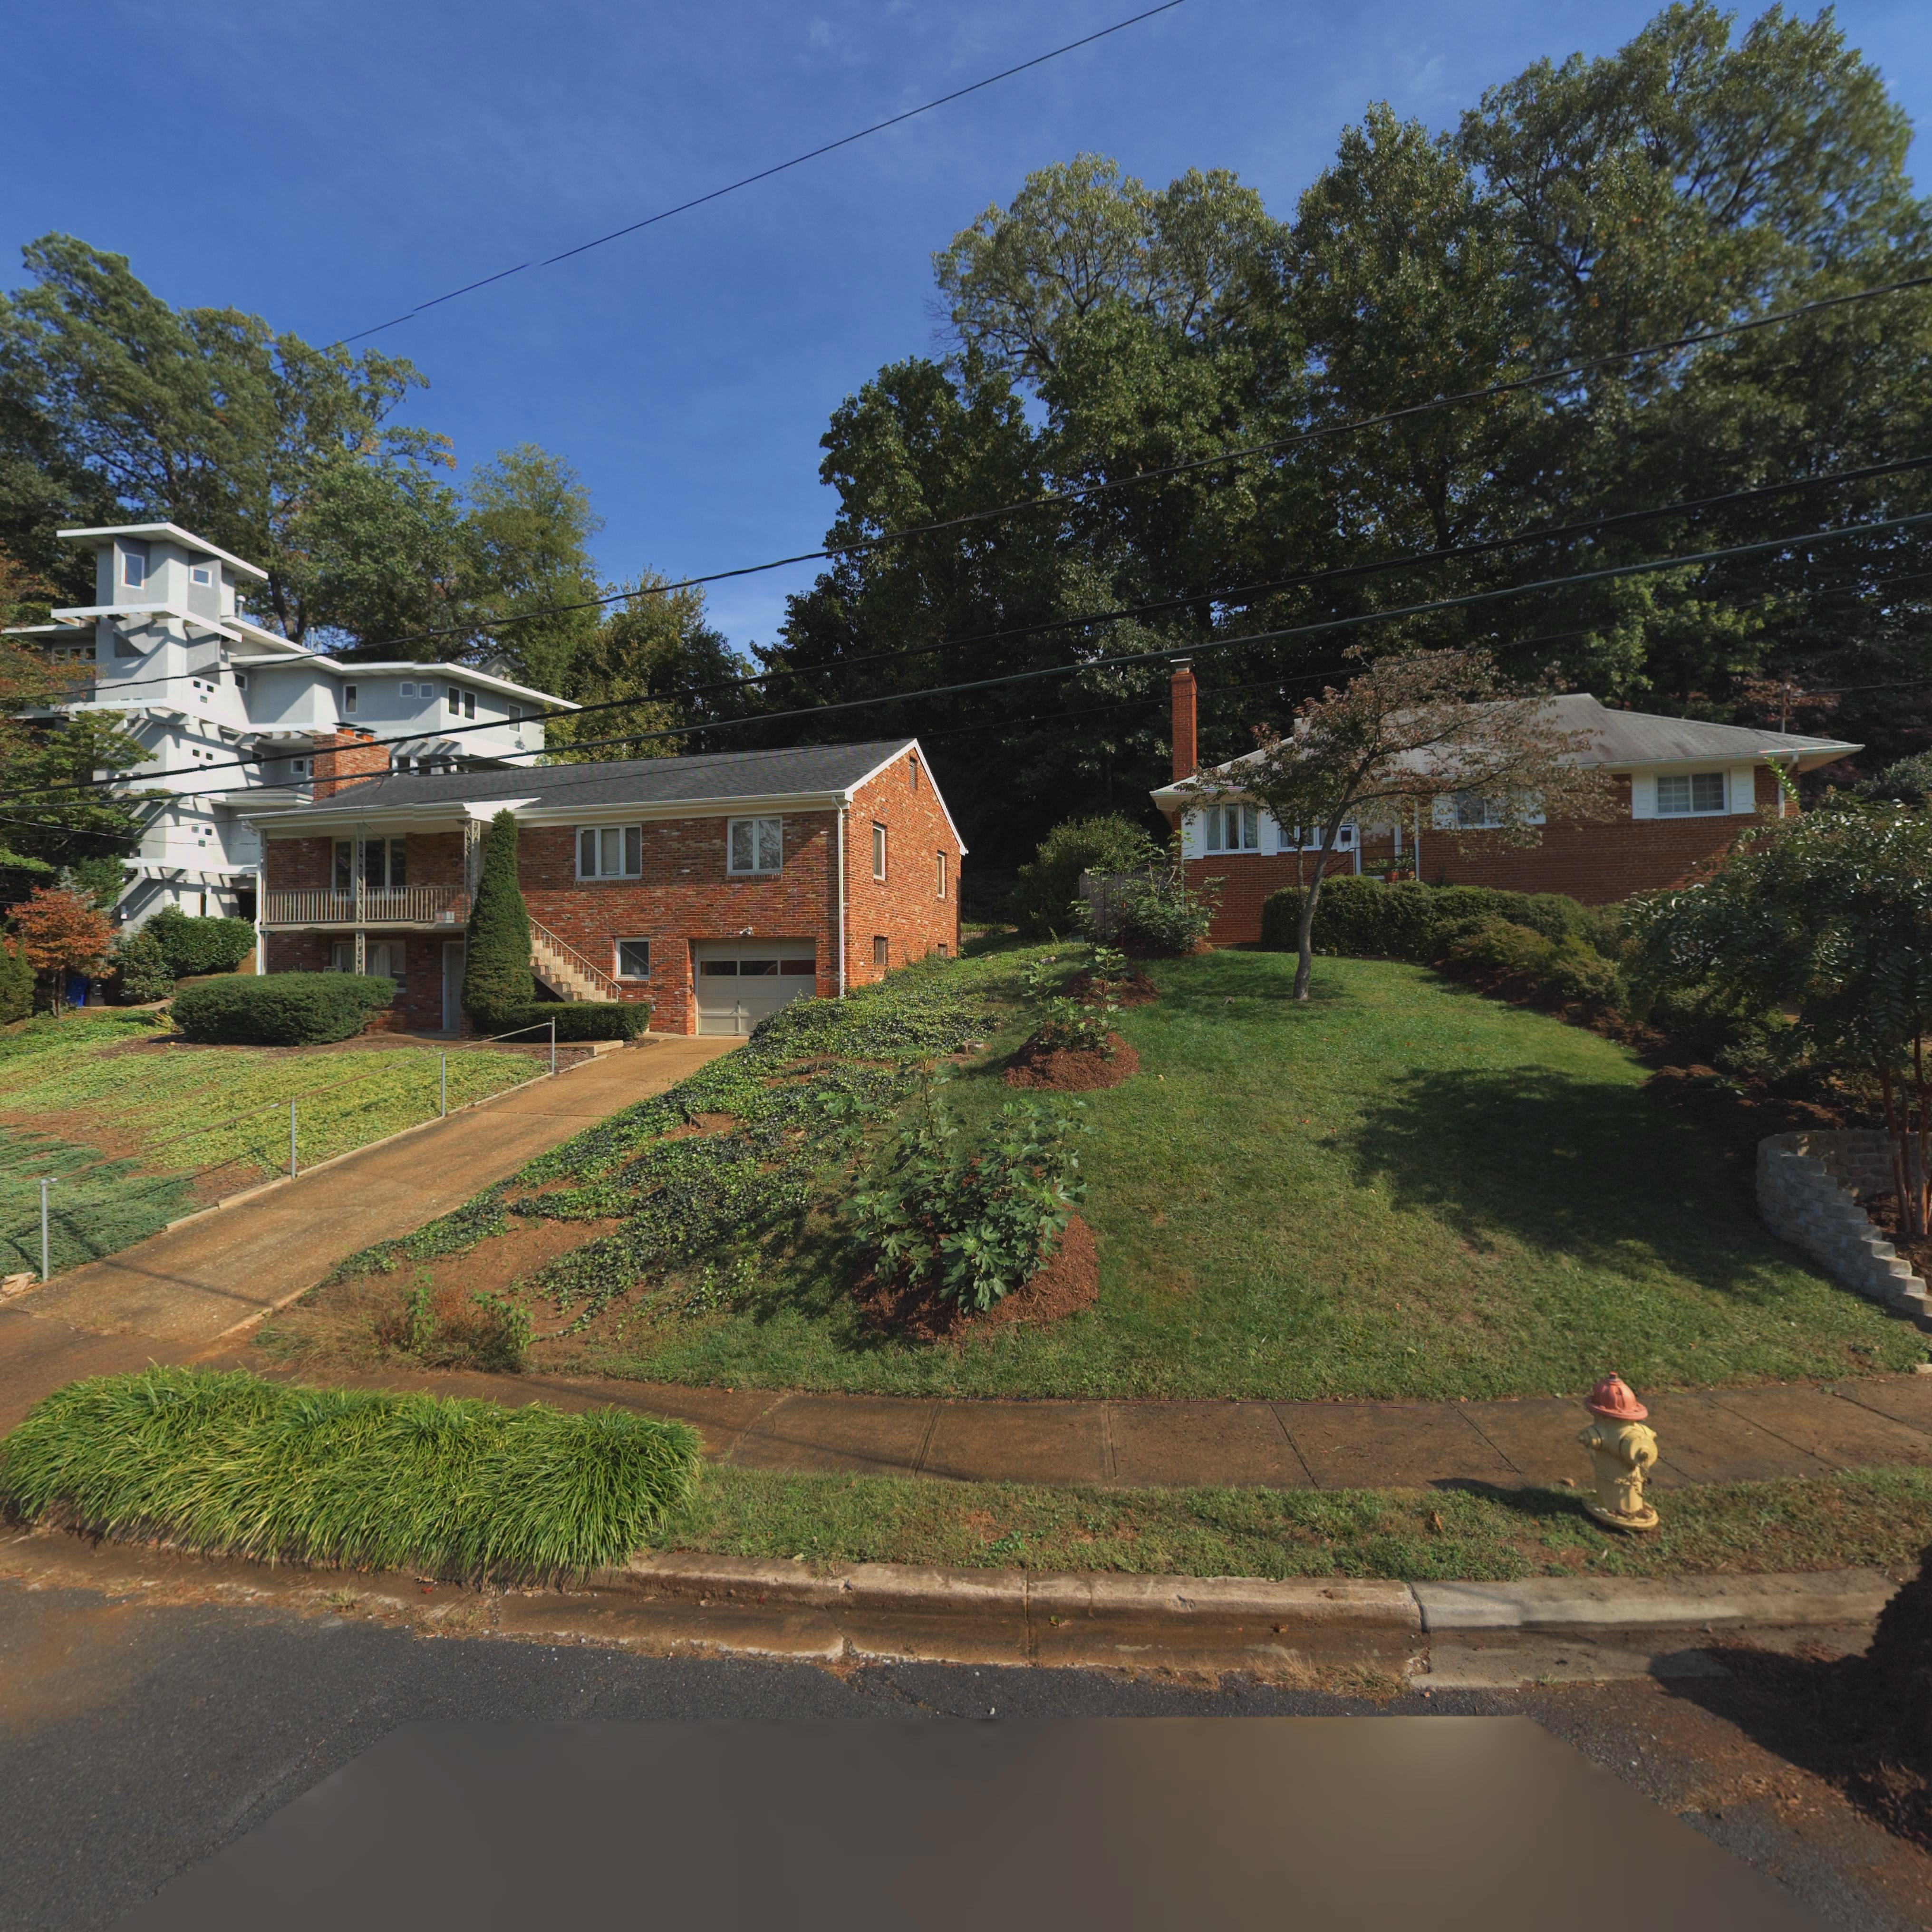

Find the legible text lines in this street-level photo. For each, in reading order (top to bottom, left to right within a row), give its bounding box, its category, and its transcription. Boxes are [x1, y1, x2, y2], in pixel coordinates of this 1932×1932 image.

[446, 851, 464, 860] StreetNumber: 1835